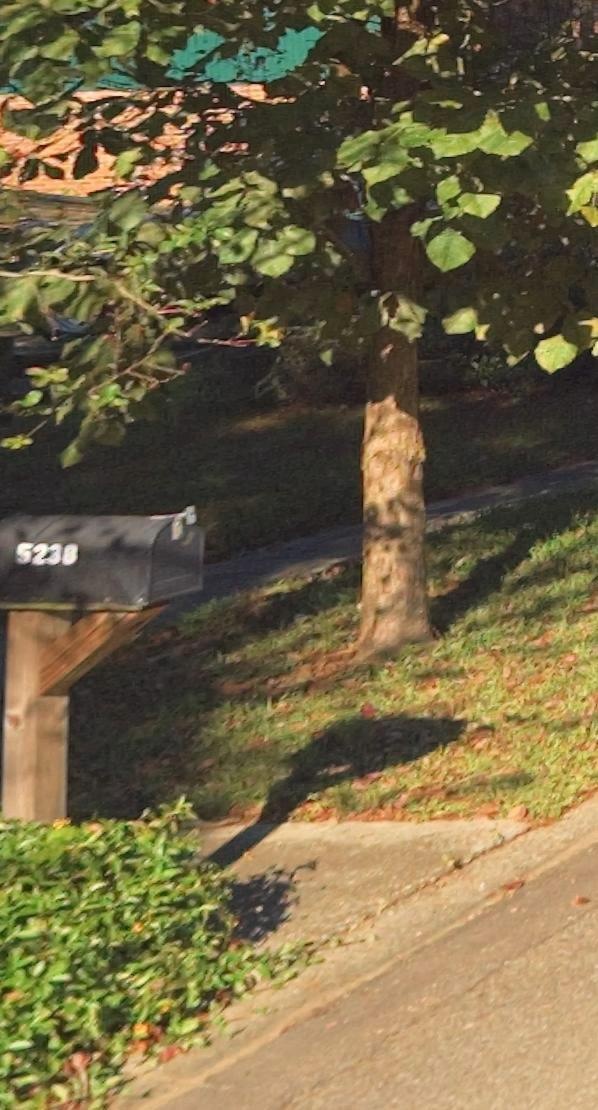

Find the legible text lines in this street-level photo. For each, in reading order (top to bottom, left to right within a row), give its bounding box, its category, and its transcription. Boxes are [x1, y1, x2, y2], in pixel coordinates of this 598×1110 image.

[12, 538, 82, 570] StreetNumber: 5238